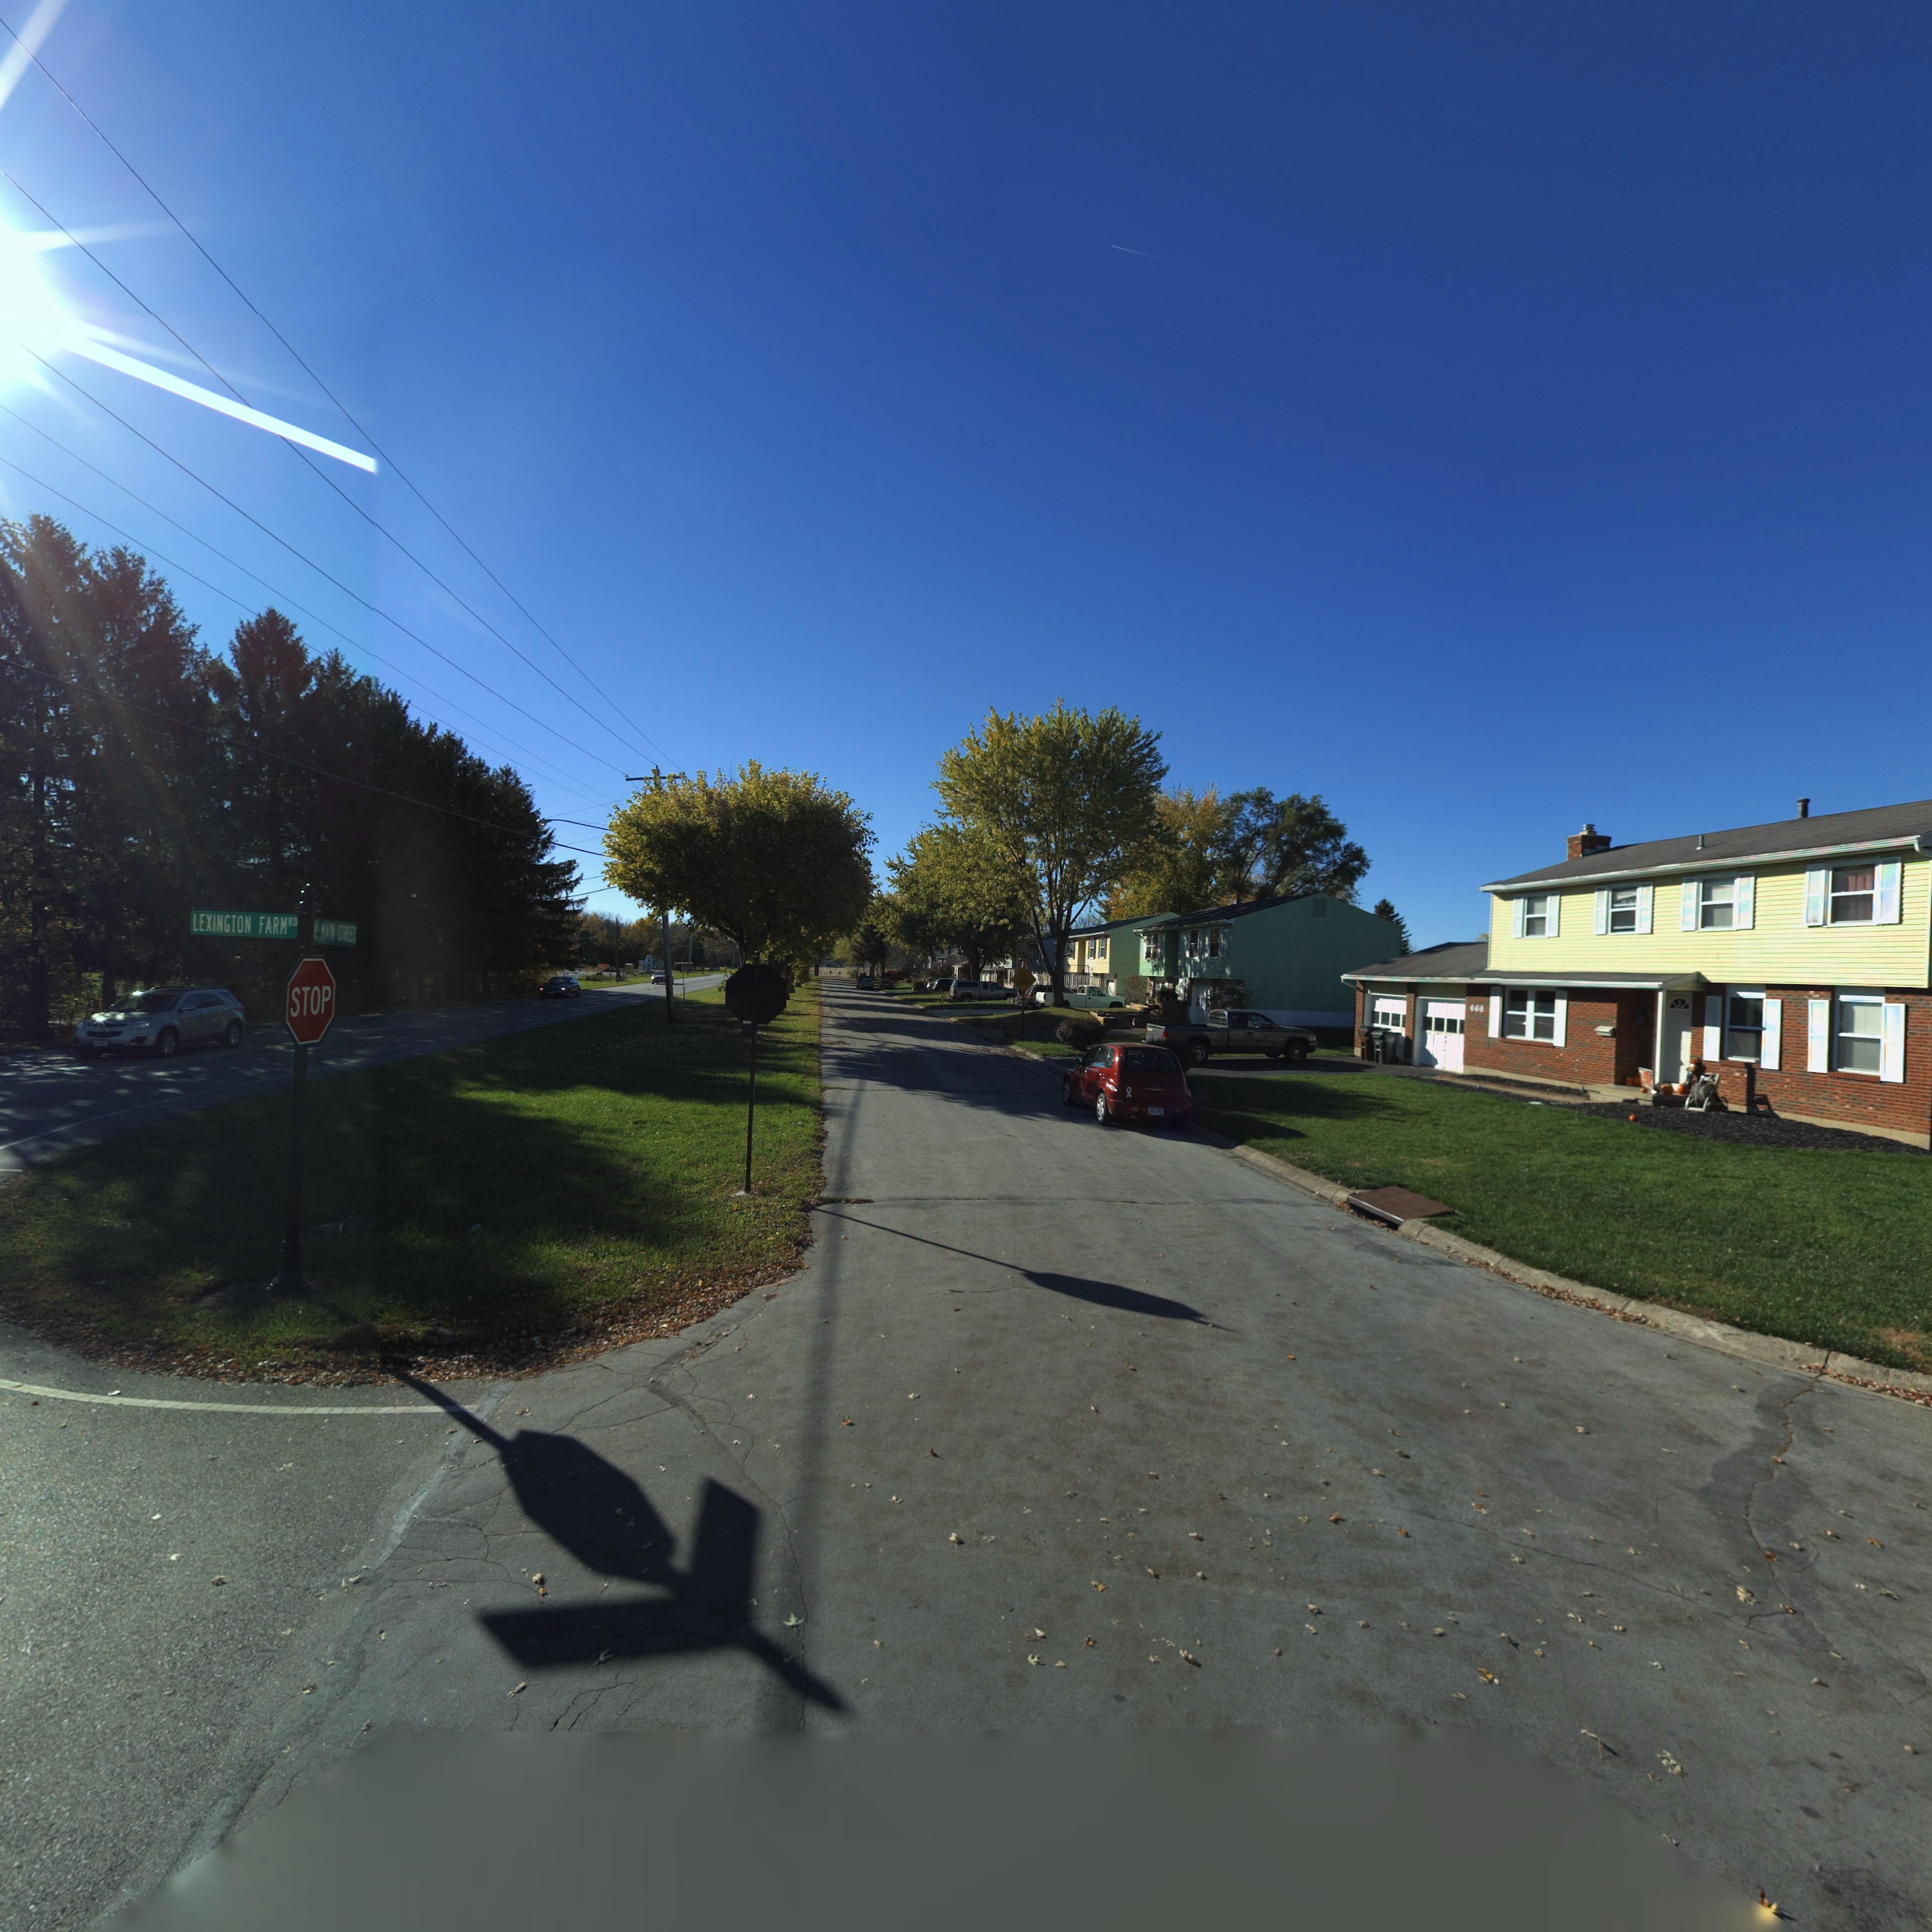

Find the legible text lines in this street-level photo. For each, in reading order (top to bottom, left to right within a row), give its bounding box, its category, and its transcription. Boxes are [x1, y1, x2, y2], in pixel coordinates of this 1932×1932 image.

[192, 912, 298, 936] None: LEXINGTON FARM RD
[317, 922, 357, 945] None: MAIN STREET
[290, 985, 332, 1019] None: STOP
[1469, 1004, 1485, 1013] StreetNumber: 668